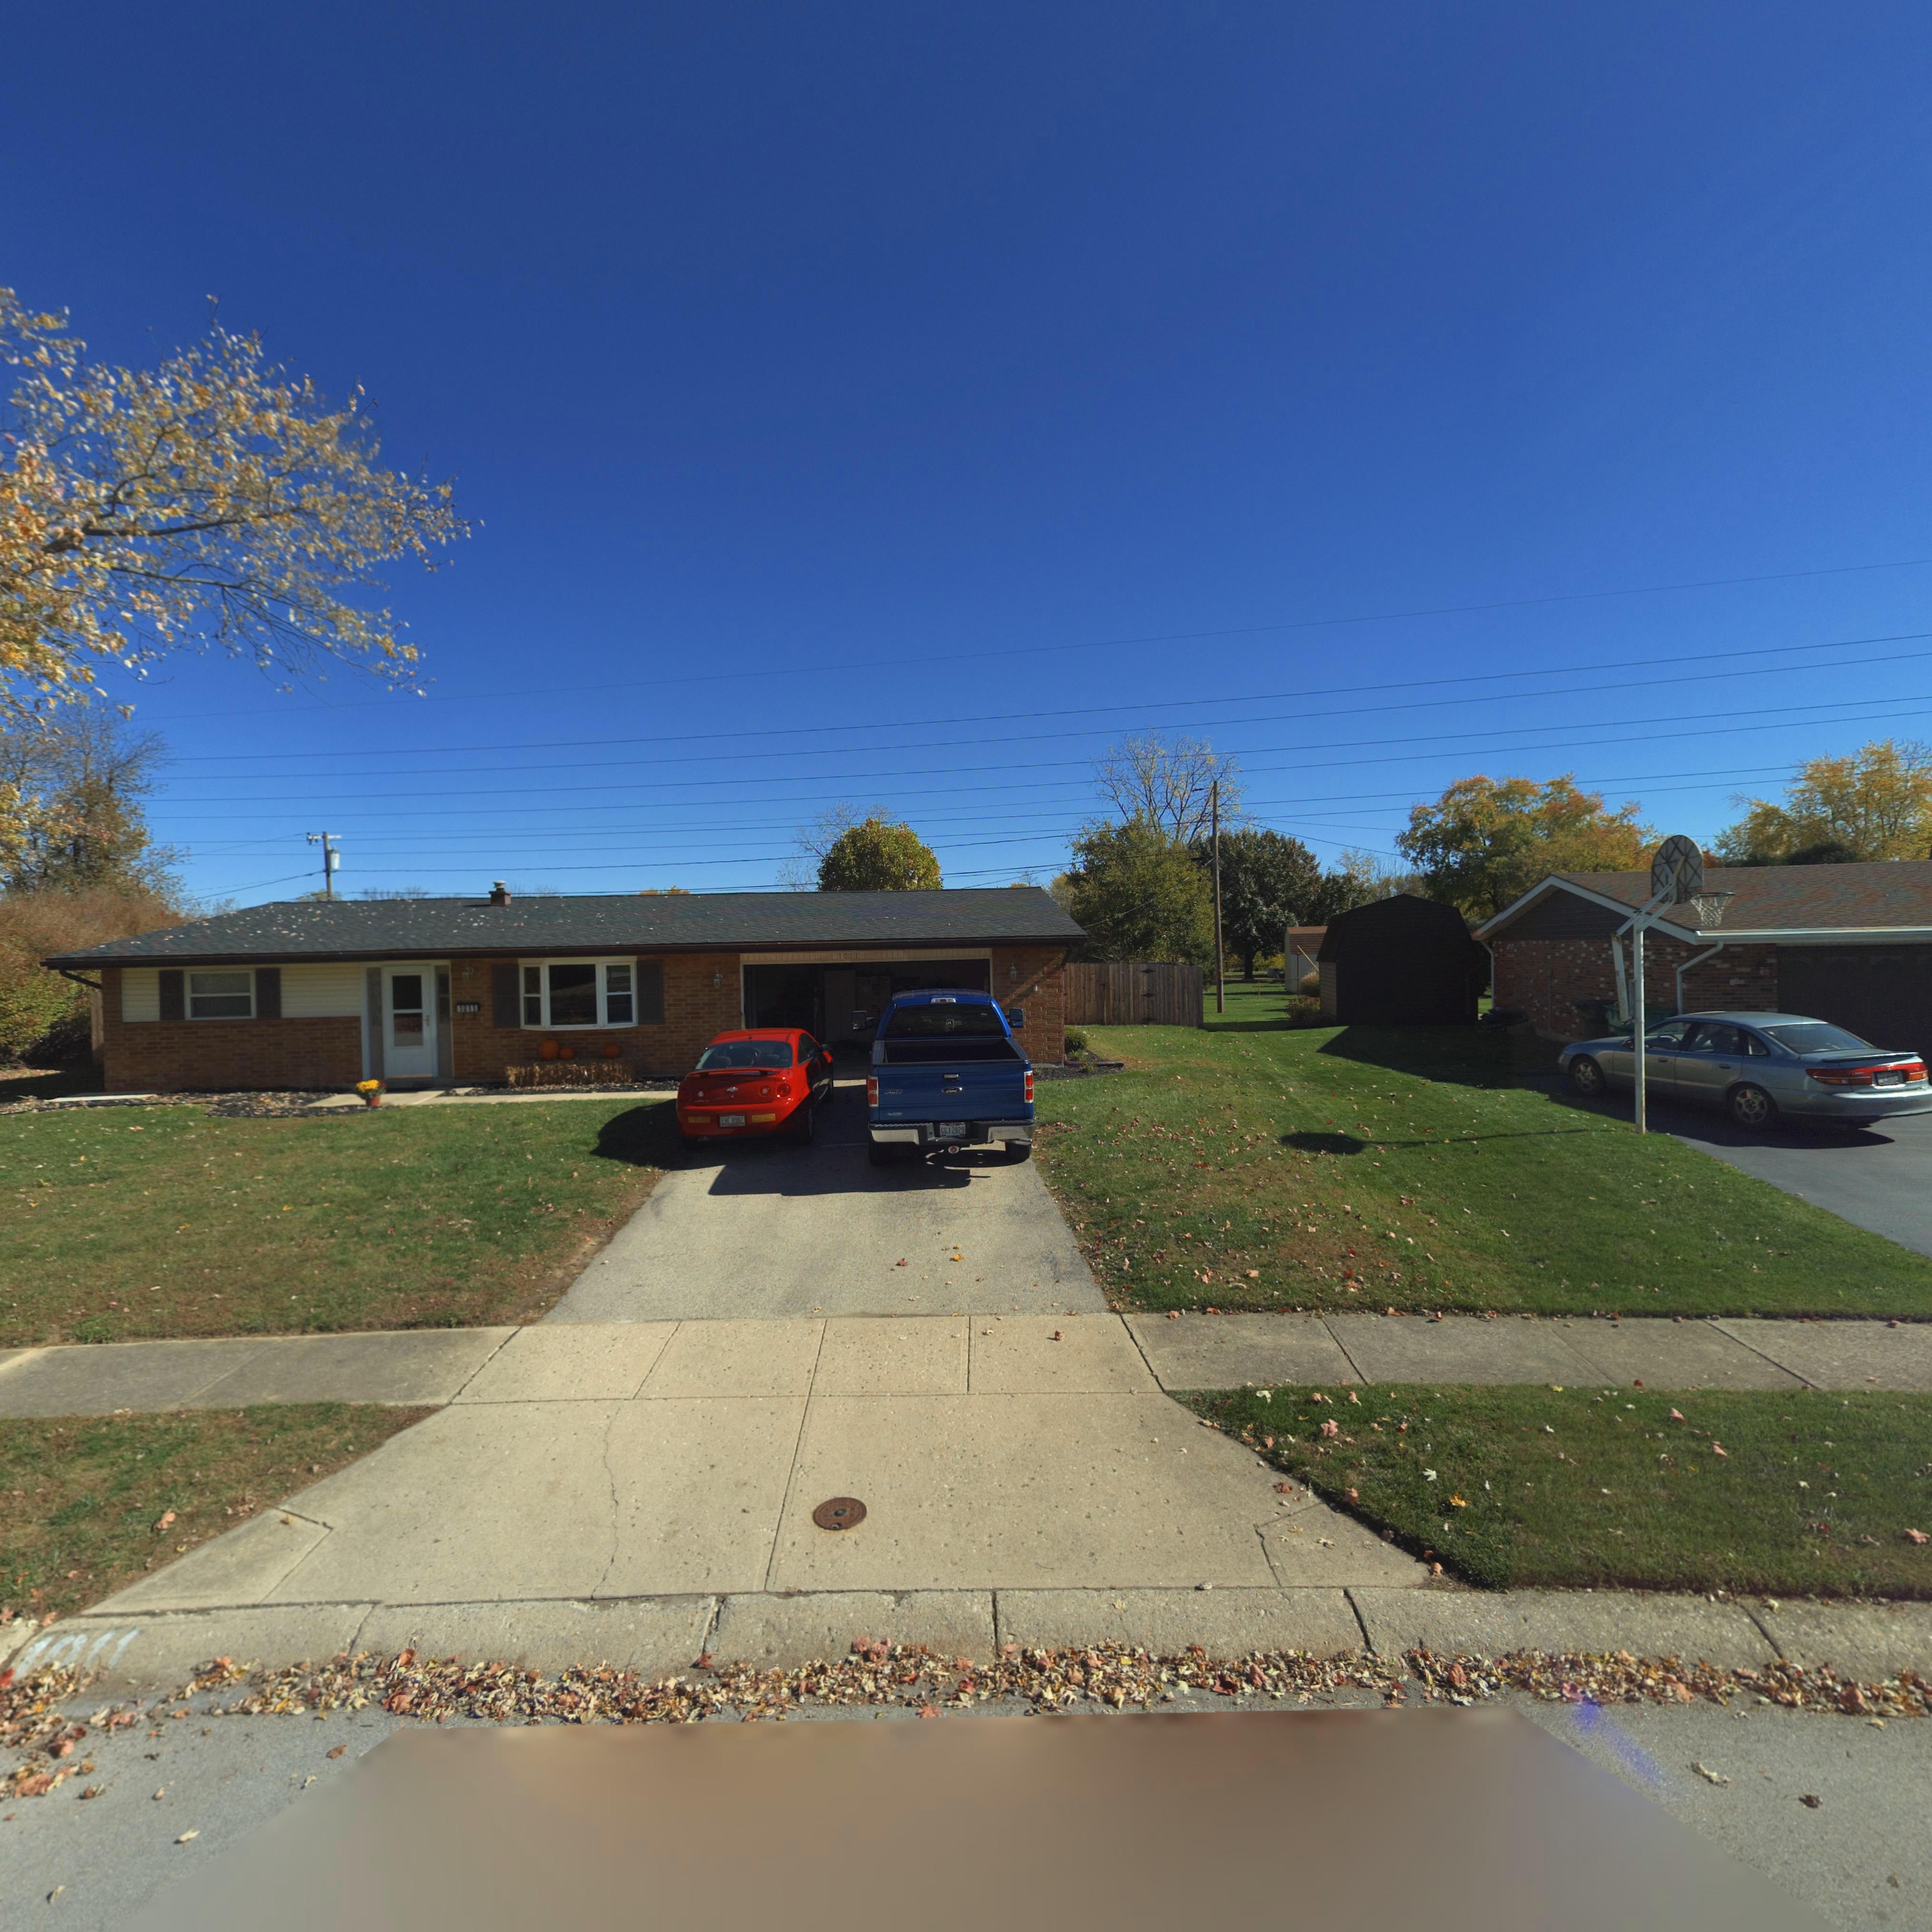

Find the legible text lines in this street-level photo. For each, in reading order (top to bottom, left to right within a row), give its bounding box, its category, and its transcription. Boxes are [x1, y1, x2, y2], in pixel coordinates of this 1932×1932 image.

[838, 952, 858, 960] StreetNumber: 1011
[459, 1005, 476, 1012] StreetNumber: 1011
[4, 1627, 145, 1684] StreetNumber: 1011